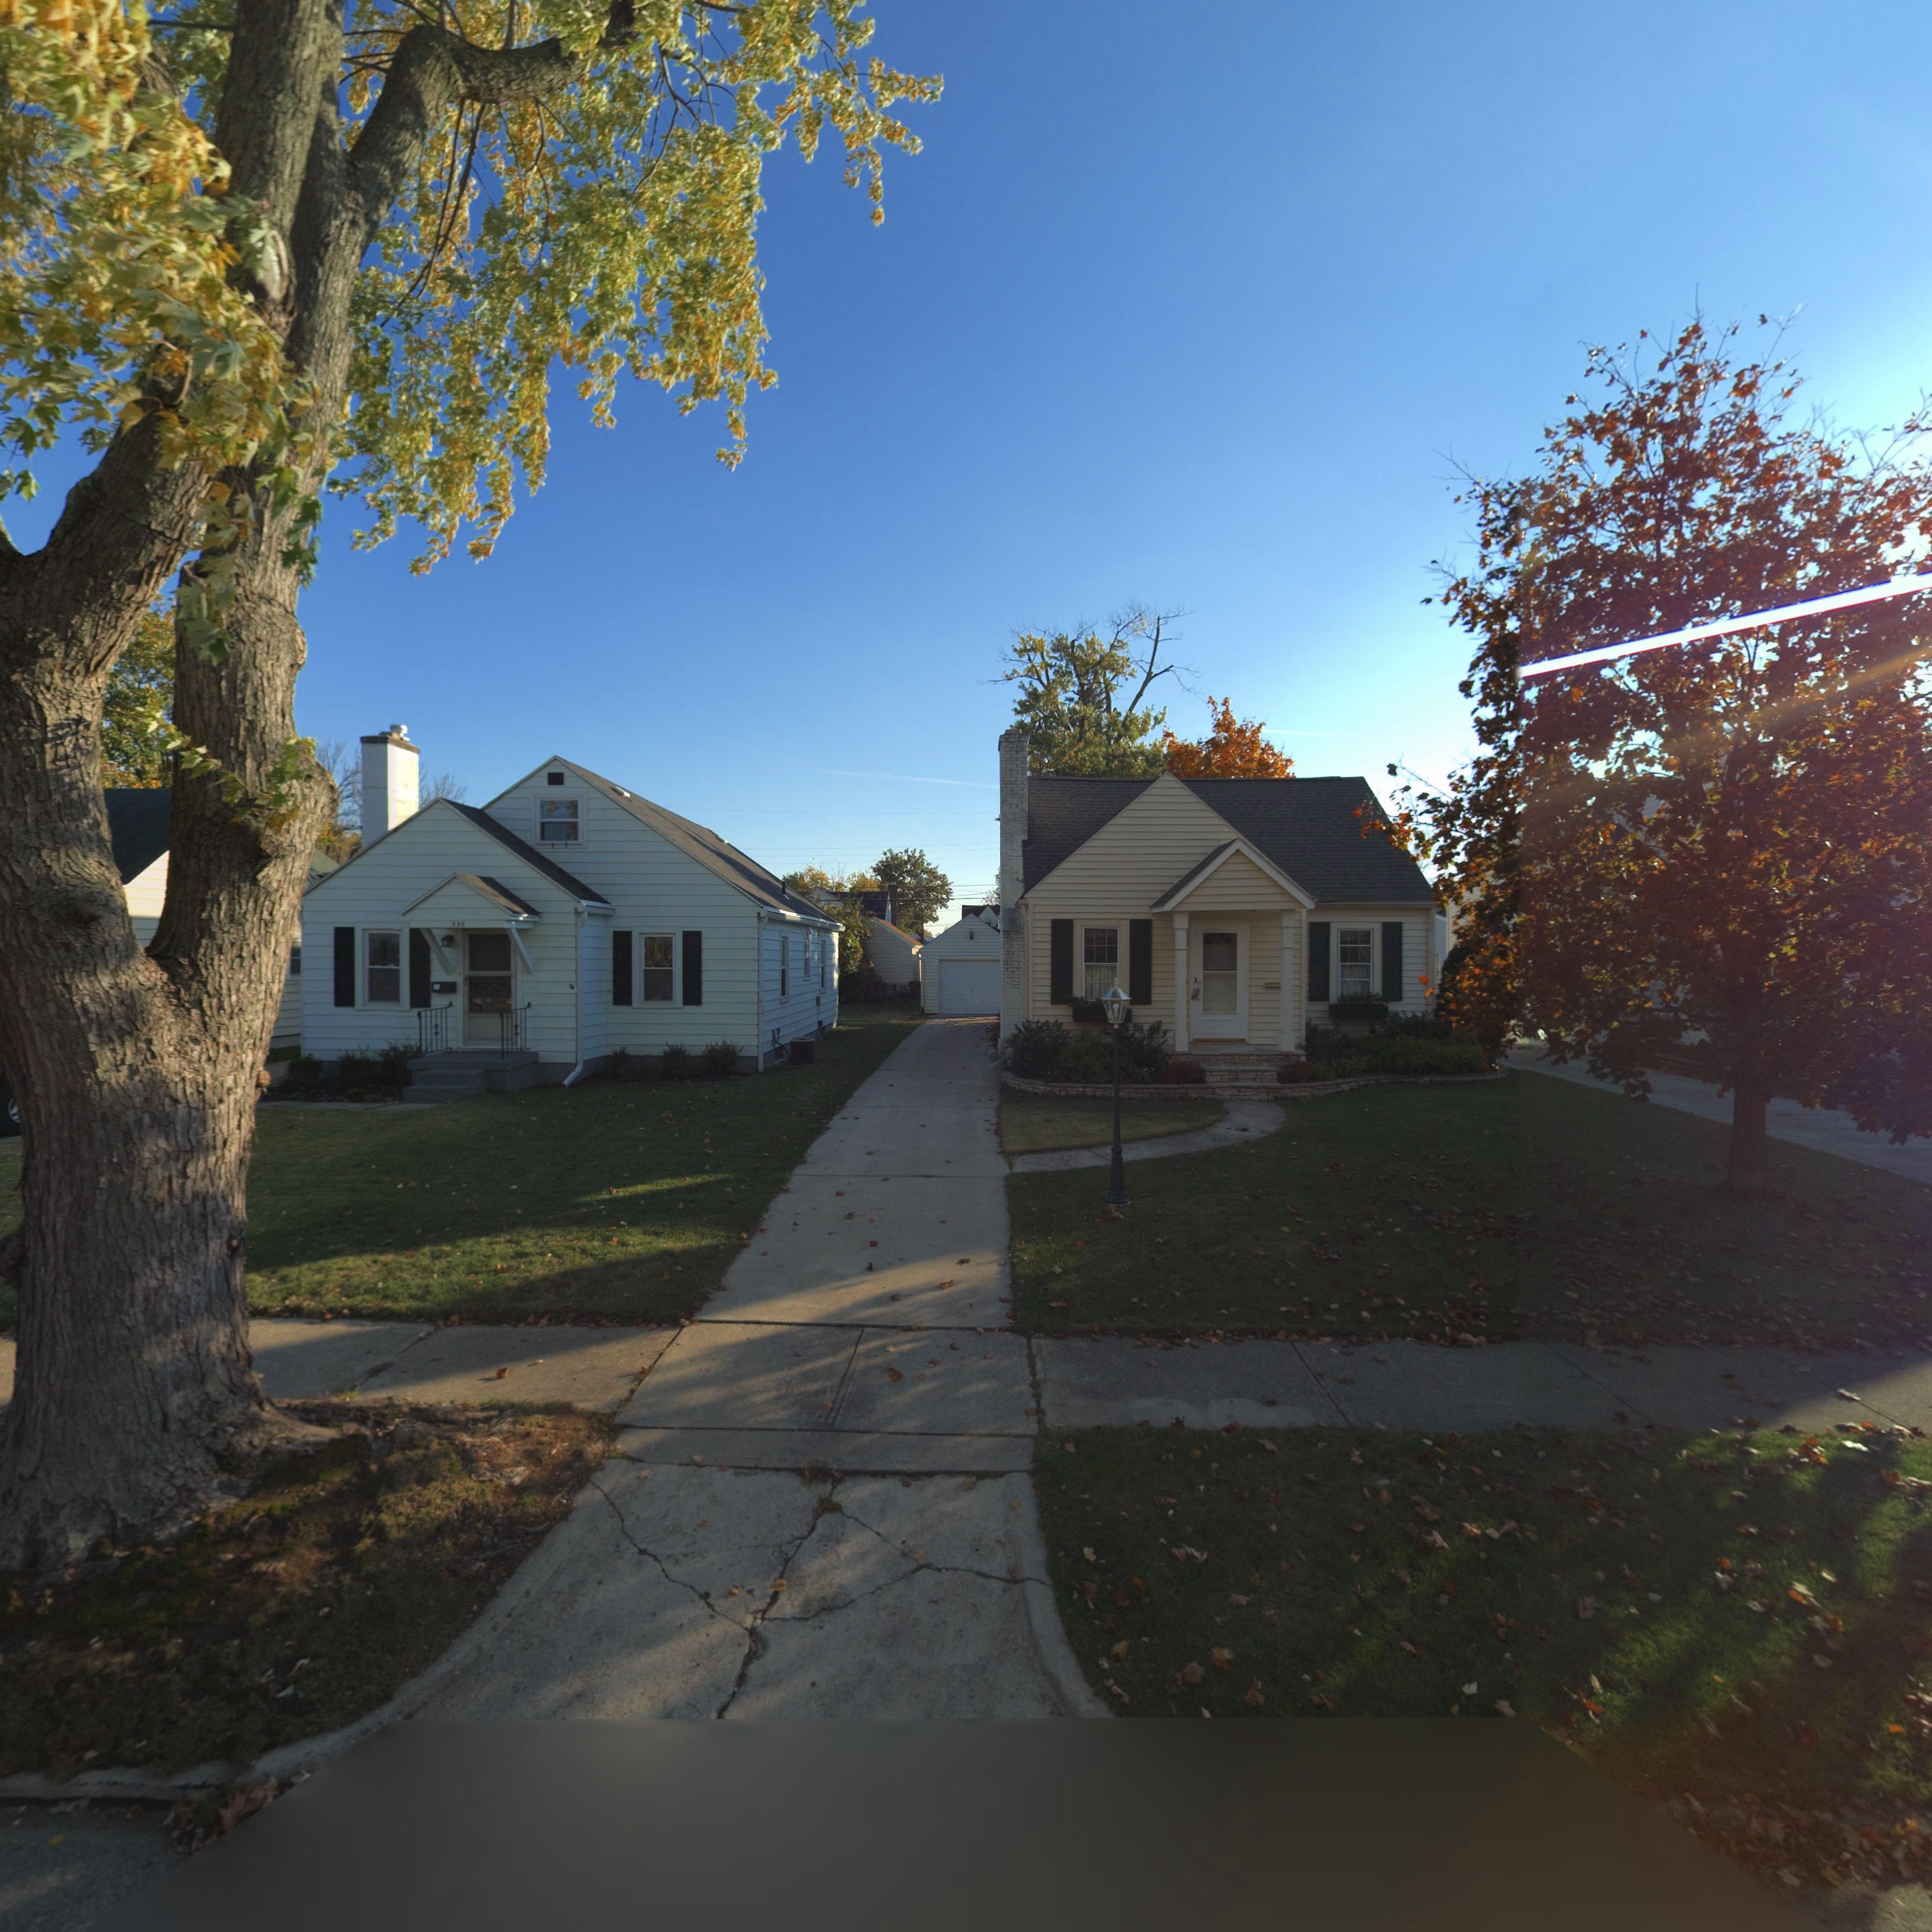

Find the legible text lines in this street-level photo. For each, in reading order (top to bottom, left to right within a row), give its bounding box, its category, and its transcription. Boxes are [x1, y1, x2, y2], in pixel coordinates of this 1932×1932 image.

[451, 920, 466, 928] StreetNumber: 336